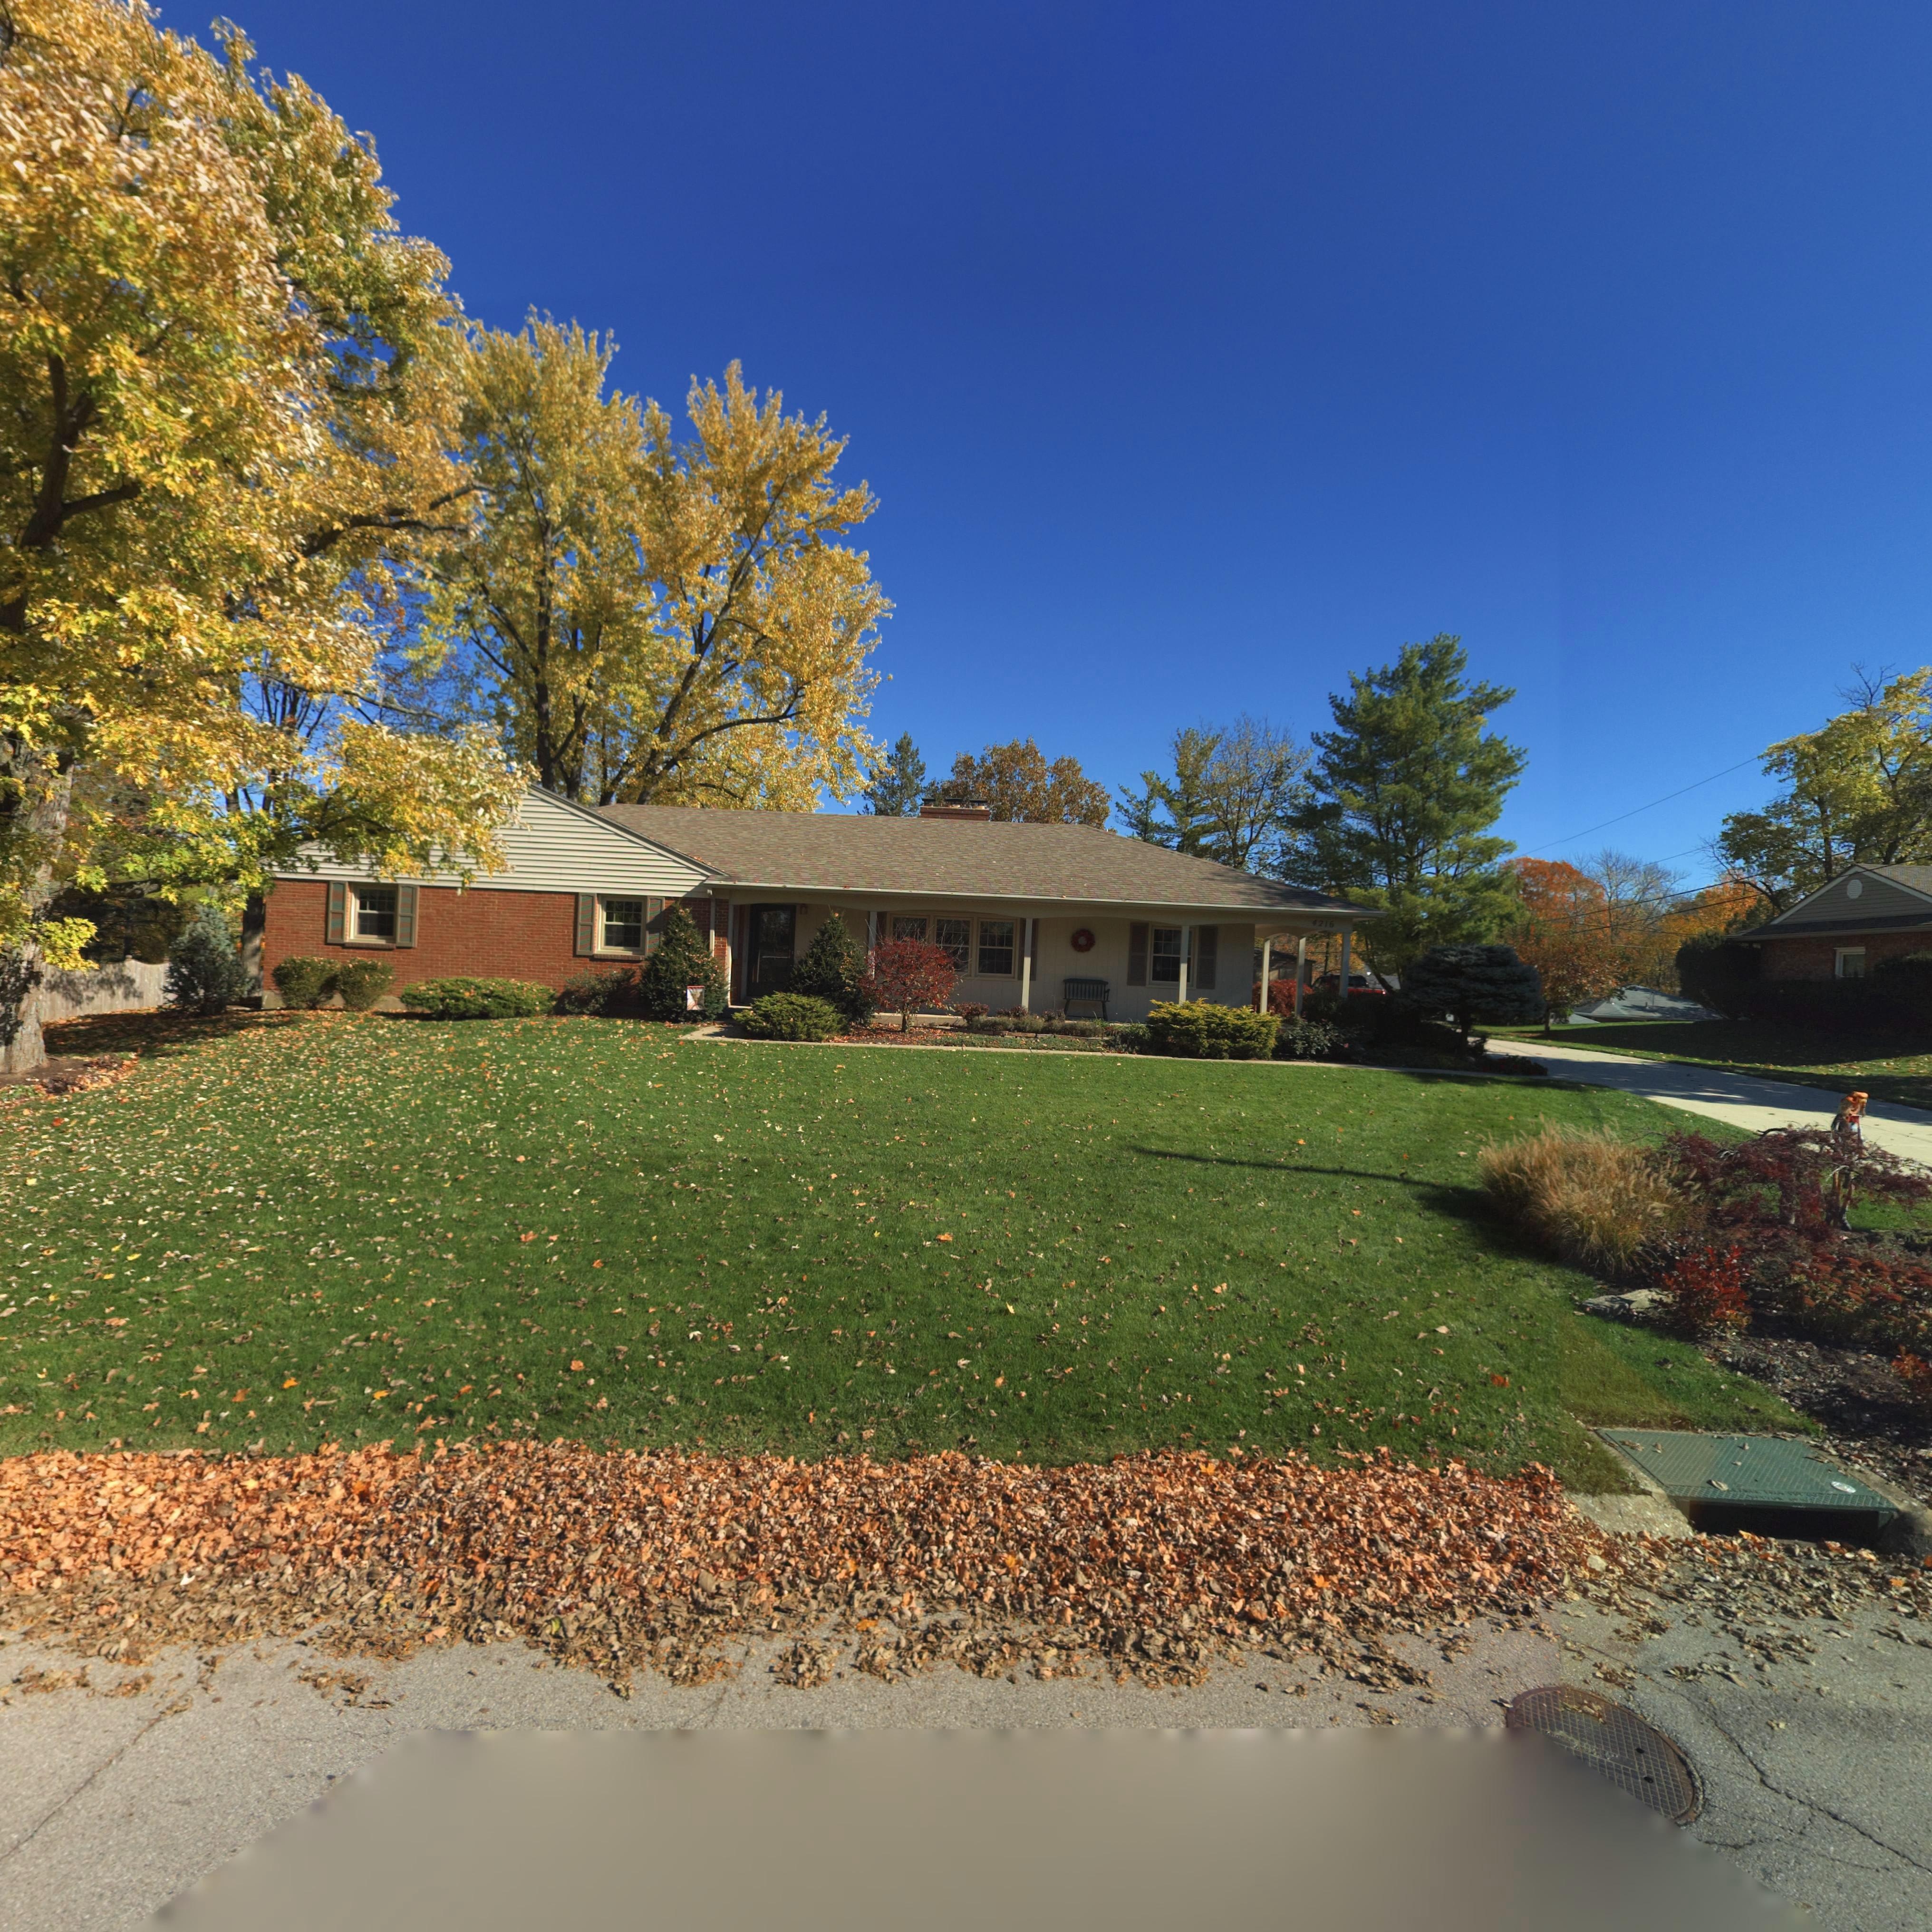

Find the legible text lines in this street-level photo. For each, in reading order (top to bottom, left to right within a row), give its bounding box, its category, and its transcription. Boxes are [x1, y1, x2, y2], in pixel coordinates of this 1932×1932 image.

[1312, 918, 1334, 928] StreetNumber: 4216